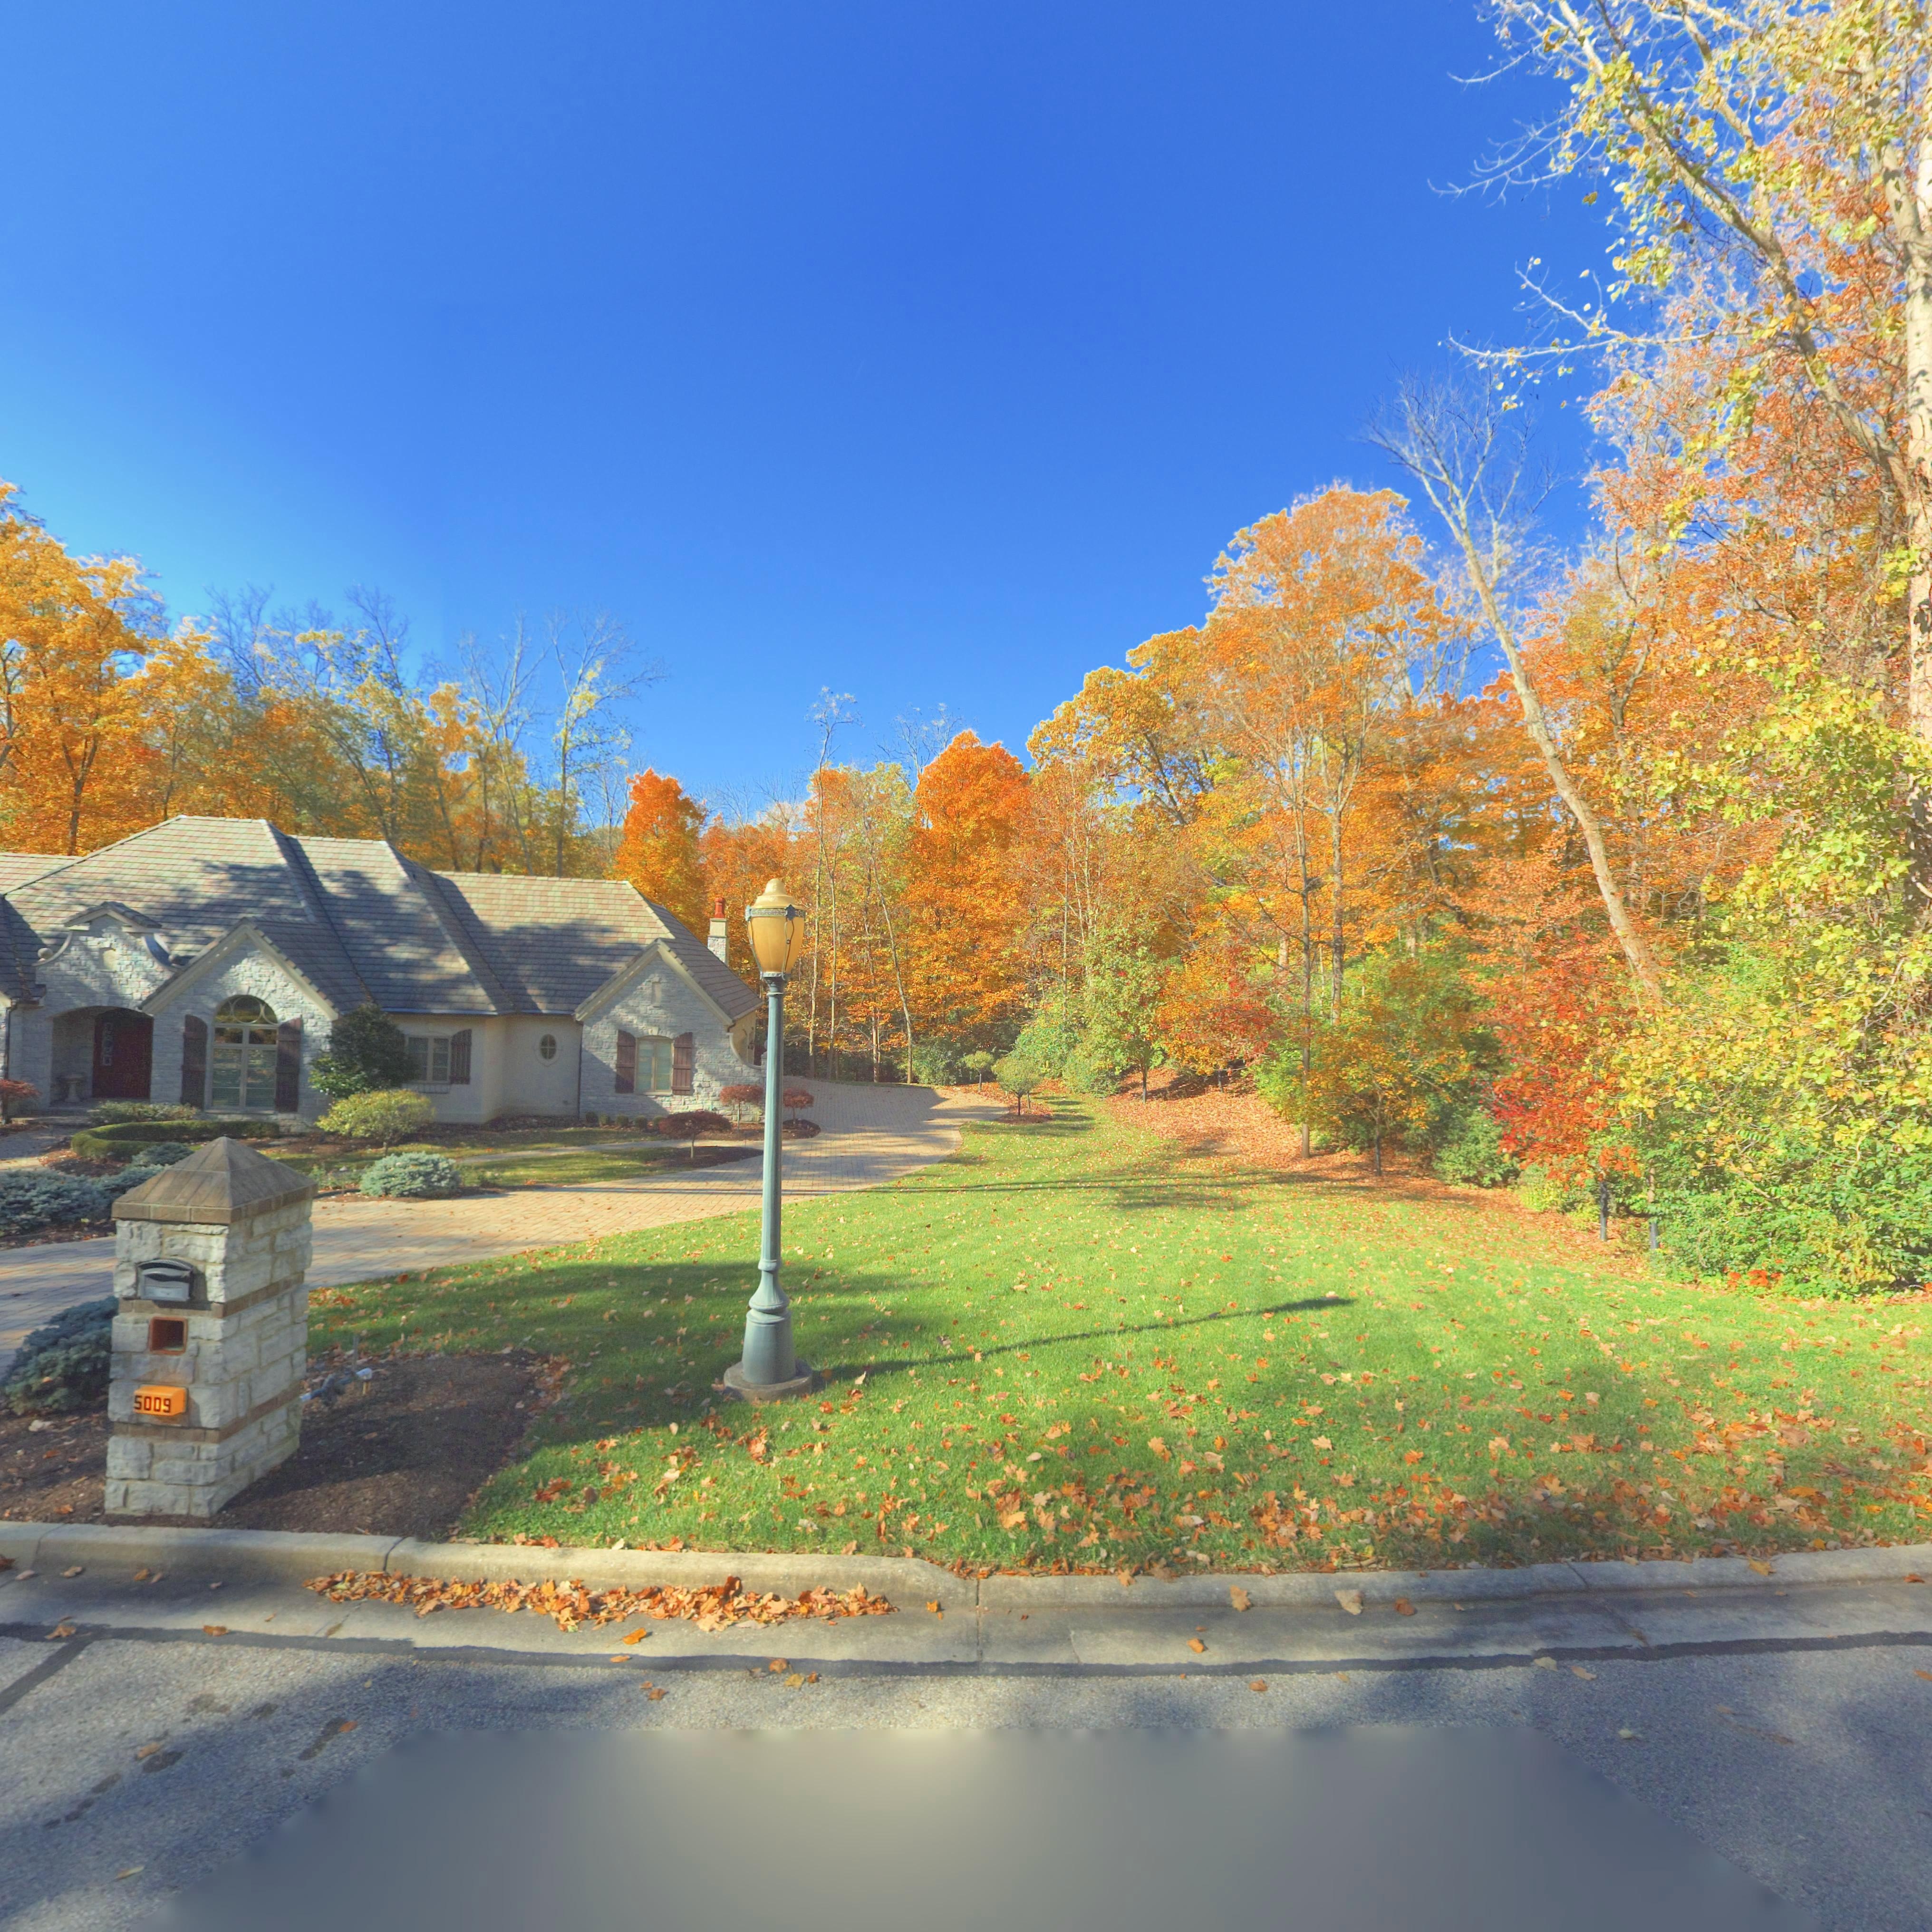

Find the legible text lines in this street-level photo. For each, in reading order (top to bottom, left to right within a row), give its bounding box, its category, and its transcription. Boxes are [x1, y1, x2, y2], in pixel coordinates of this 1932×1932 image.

[133, 1393, 172, 1414] StreetNumber: 5009